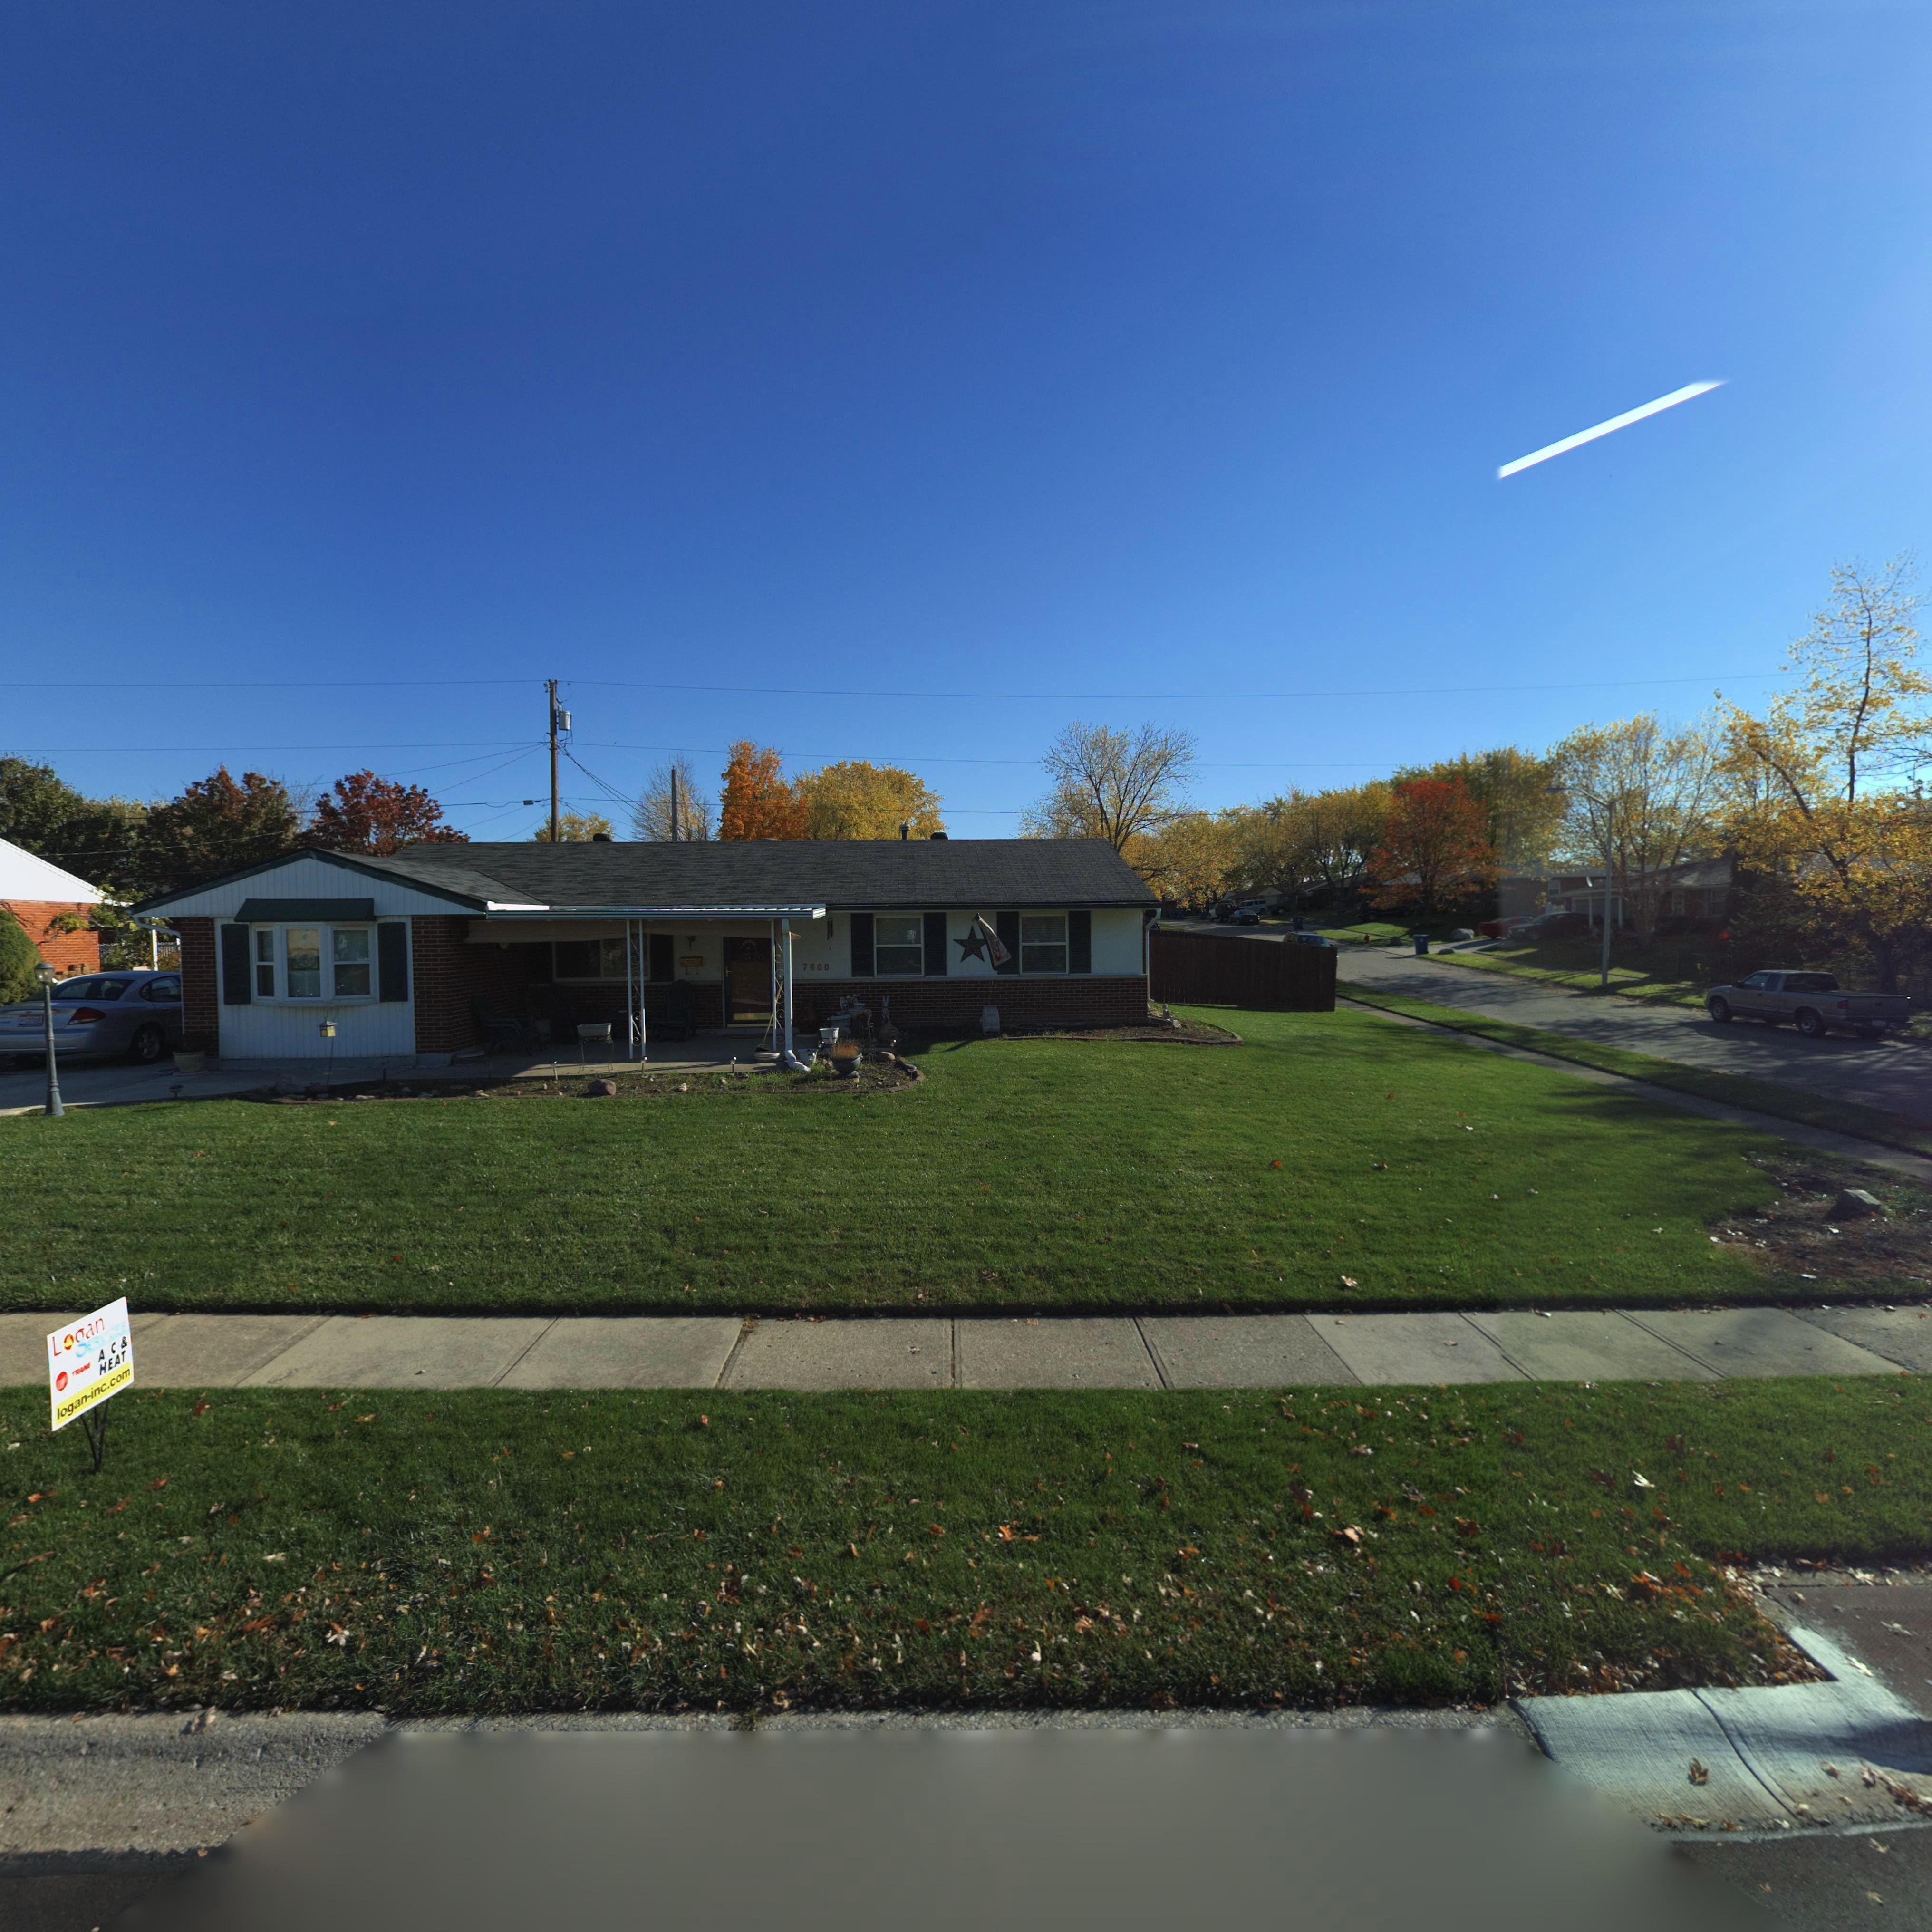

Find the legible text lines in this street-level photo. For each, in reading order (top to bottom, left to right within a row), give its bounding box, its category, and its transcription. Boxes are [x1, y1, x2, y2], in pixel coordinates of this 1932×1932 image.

[802, 963, 830, 972] StreetNumber: 7600